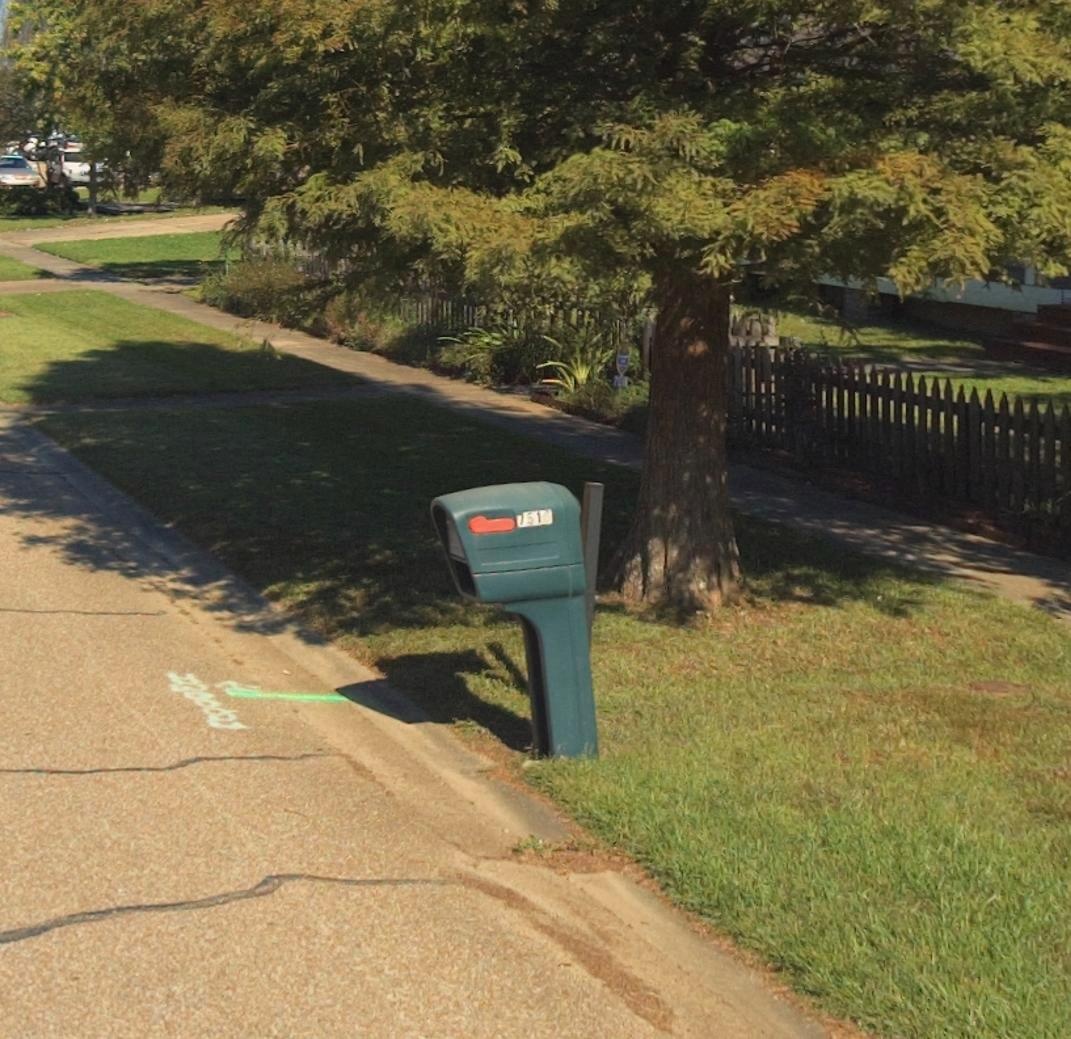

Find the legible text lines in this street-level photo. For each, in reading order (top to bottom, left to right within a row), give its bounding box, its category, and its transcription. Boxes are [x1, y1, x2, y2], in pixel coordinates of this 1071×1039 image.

[518, 509, 553, 527] StreetNumber: 7516